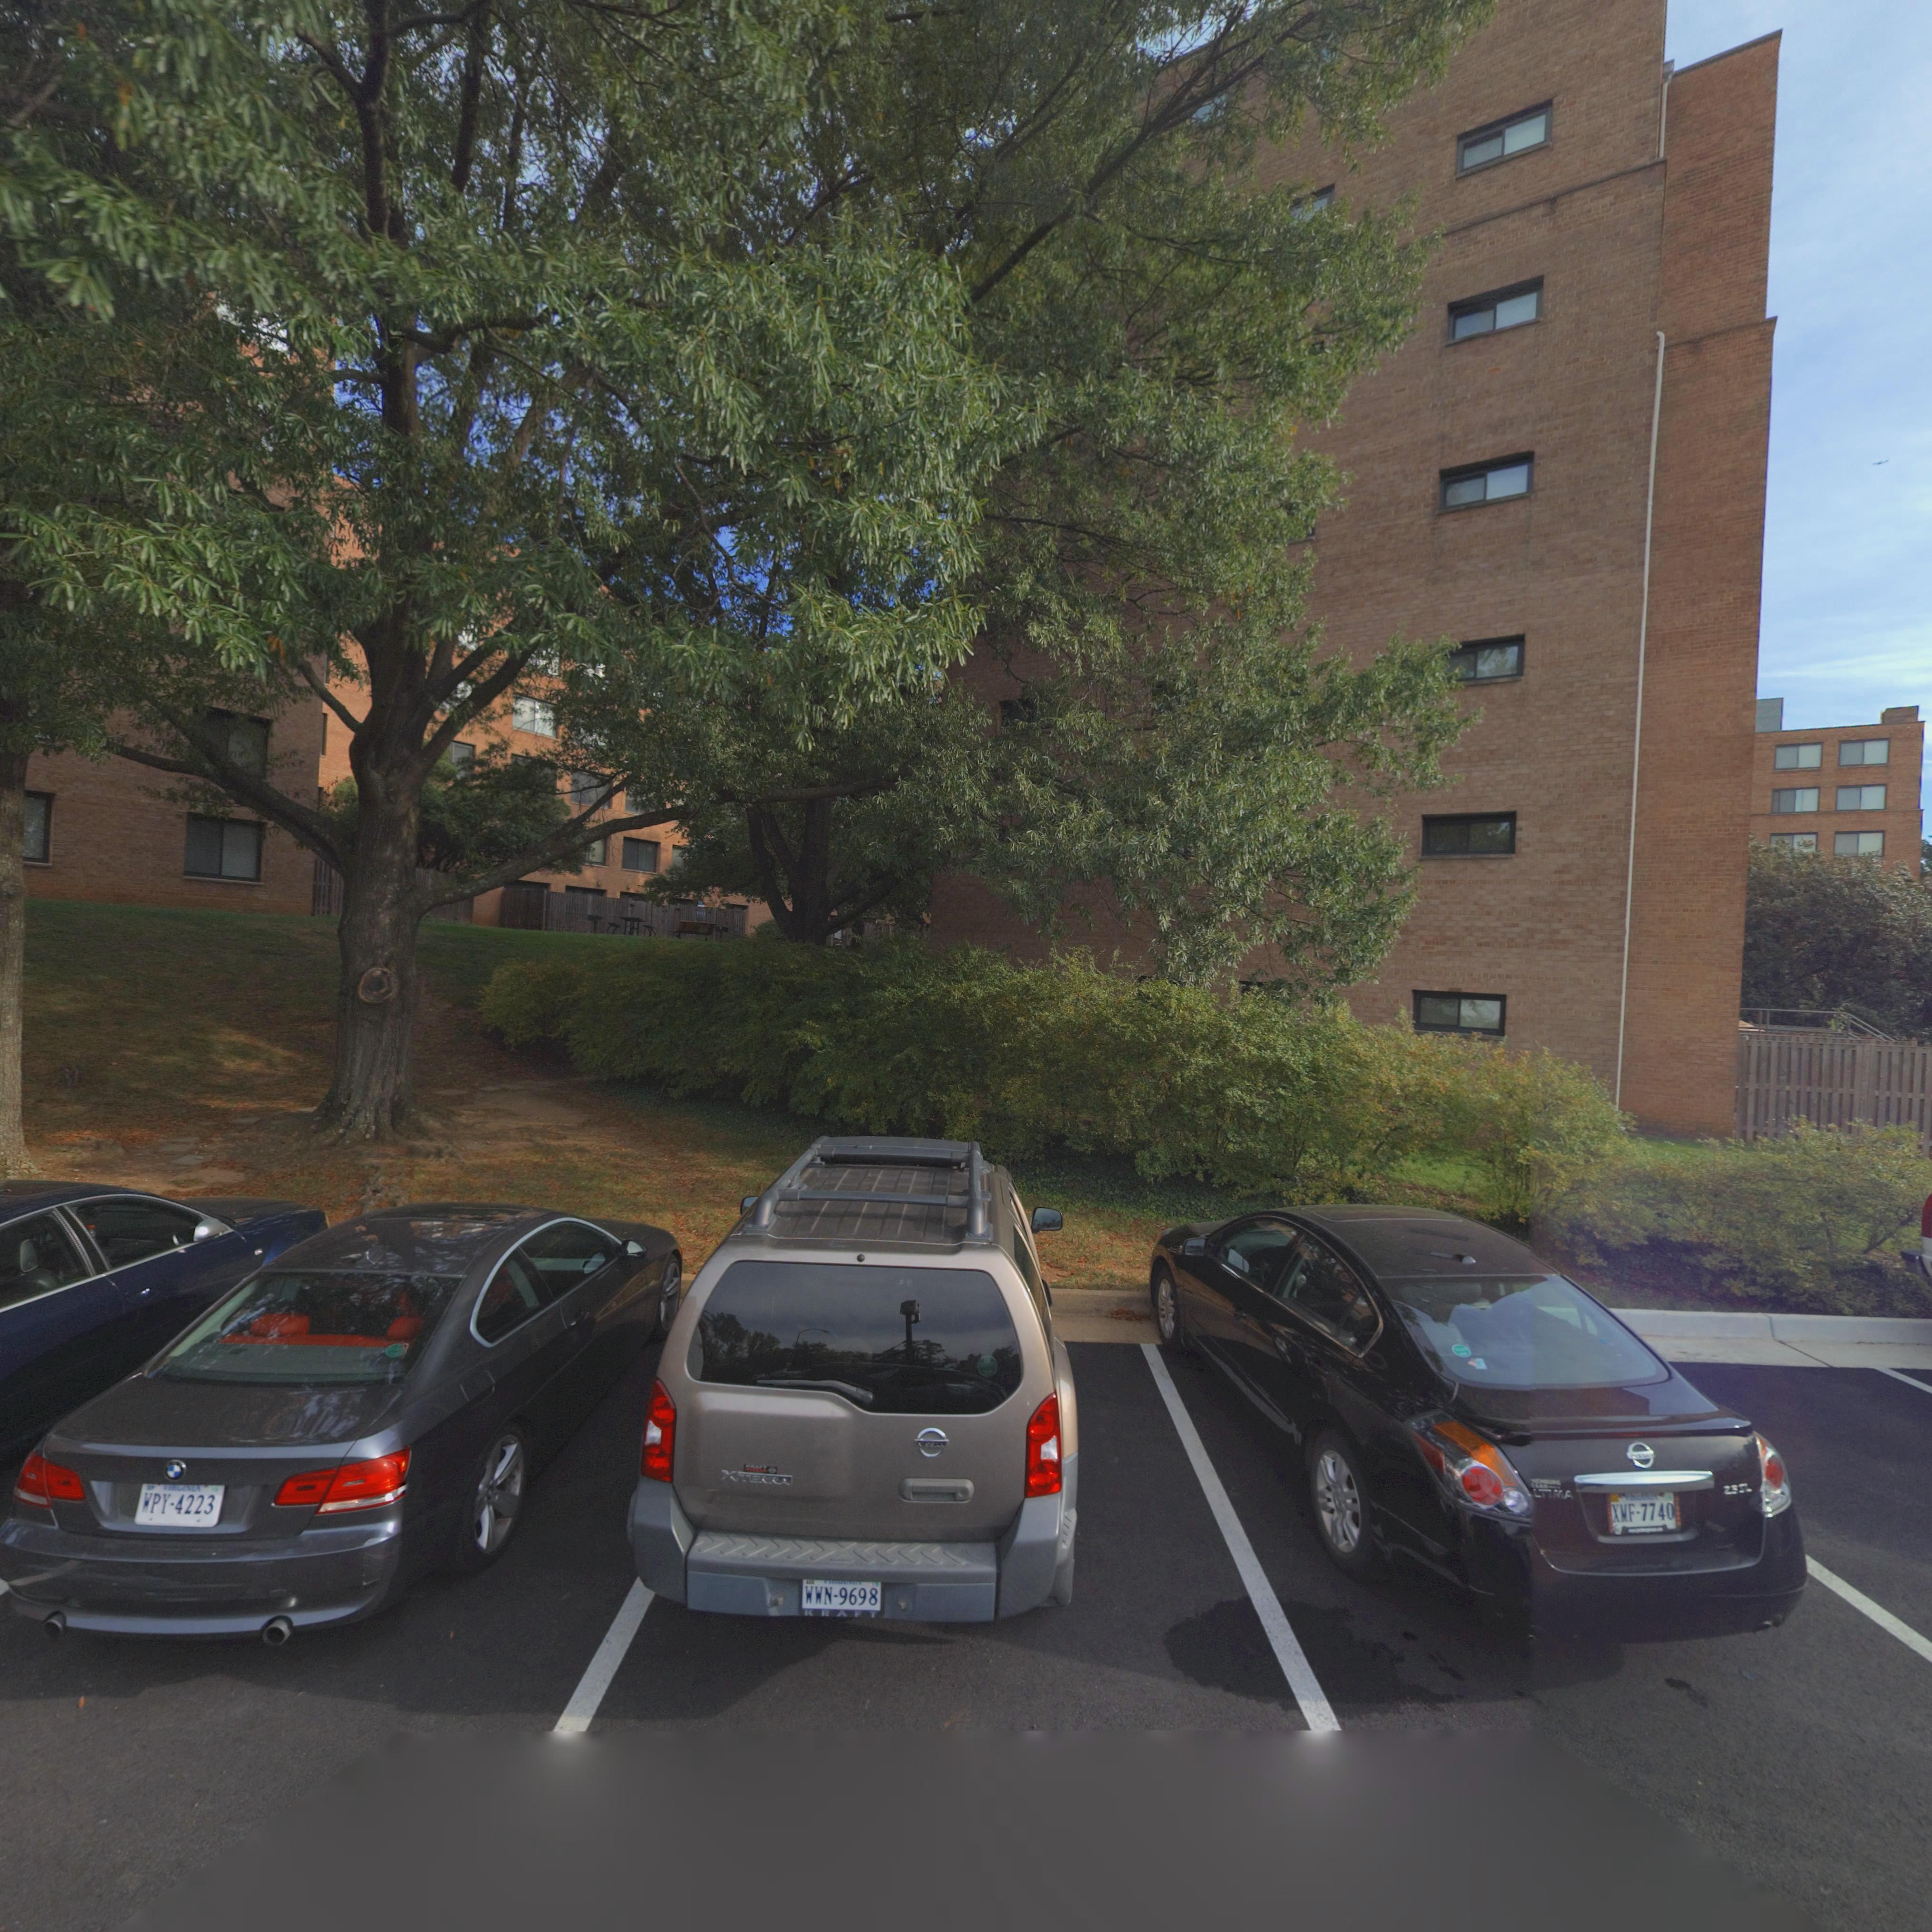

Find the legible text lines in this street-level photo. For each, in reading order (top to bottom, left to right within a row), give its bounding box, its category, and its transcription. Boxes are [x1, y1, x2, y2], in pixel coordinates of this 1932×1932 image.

[916, 1441, 947, 1447] None: NISSAN
[1630, 1453, 1655, 1459] None: NISSAN
[719, 1468, 791, 1487] None: XTERRA
[163, 1484, 202, 1492] None: VIRGINIA
[1533, 1488, 1575, 1500] None: LTIMA
[1622, 1493, 1660, 1500] None: VIRGINIA
[1722, 1482, 1754, 1496] None: 2.3SL
[141, 1492, 217, 1515] None: WPY-4223
[1611, 1502, 1676, 1523] None: XWF-7740
[804, 1585, 879, 1606] None: WWN-9698
[804, 1609, 878, 1618] None: KRAFT